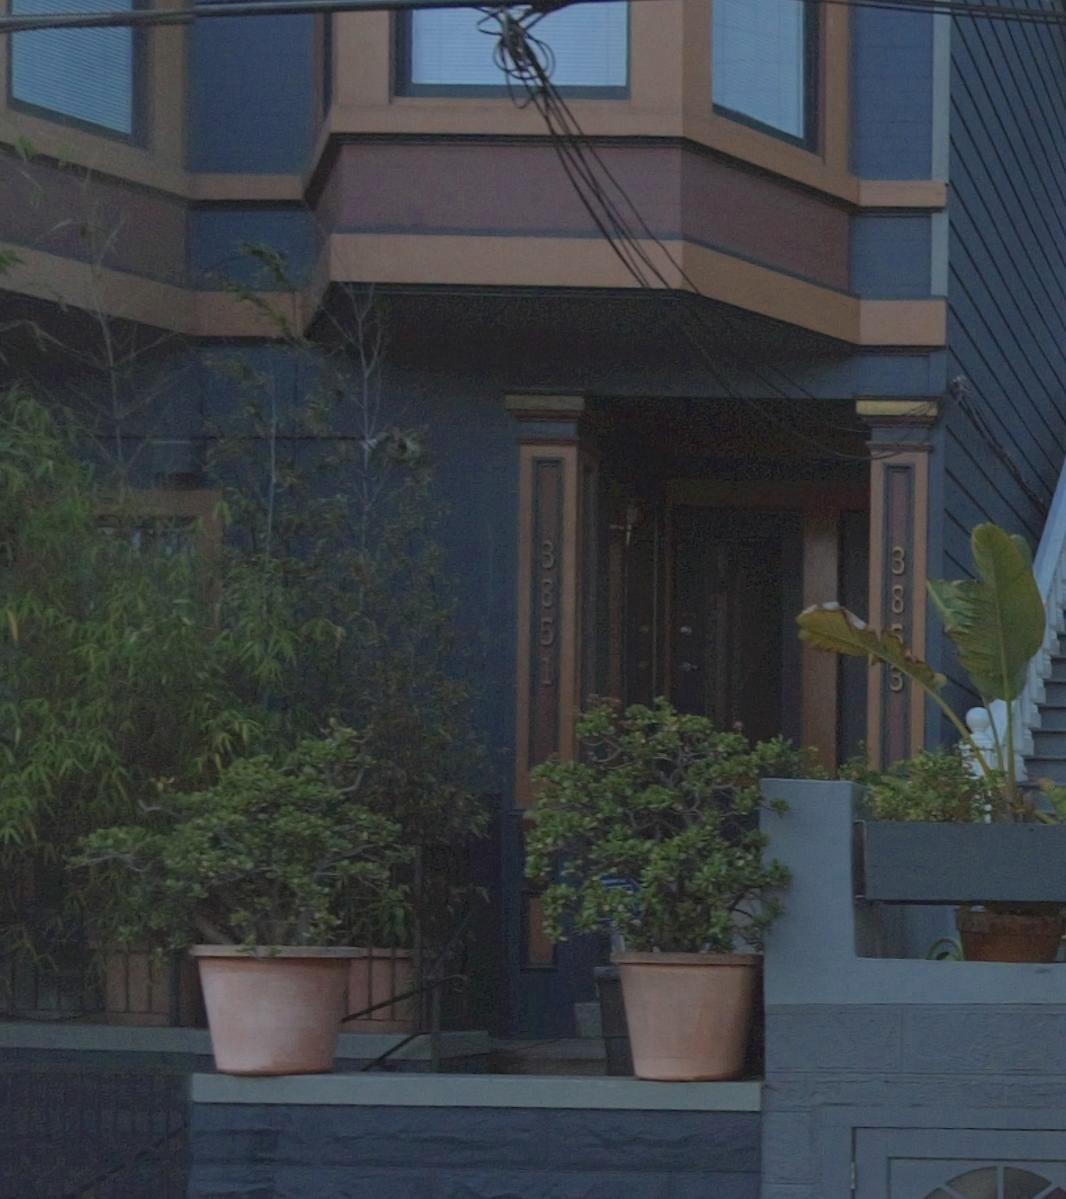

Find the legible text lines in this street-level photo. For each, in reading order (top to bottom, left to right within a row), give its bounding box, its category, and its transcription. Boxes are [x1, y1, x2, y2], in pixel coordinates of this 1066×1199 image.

[537, 537, 559, 688] StreetNumber: 3851
[889, 544, 906, 693] StreetNumber: 38**